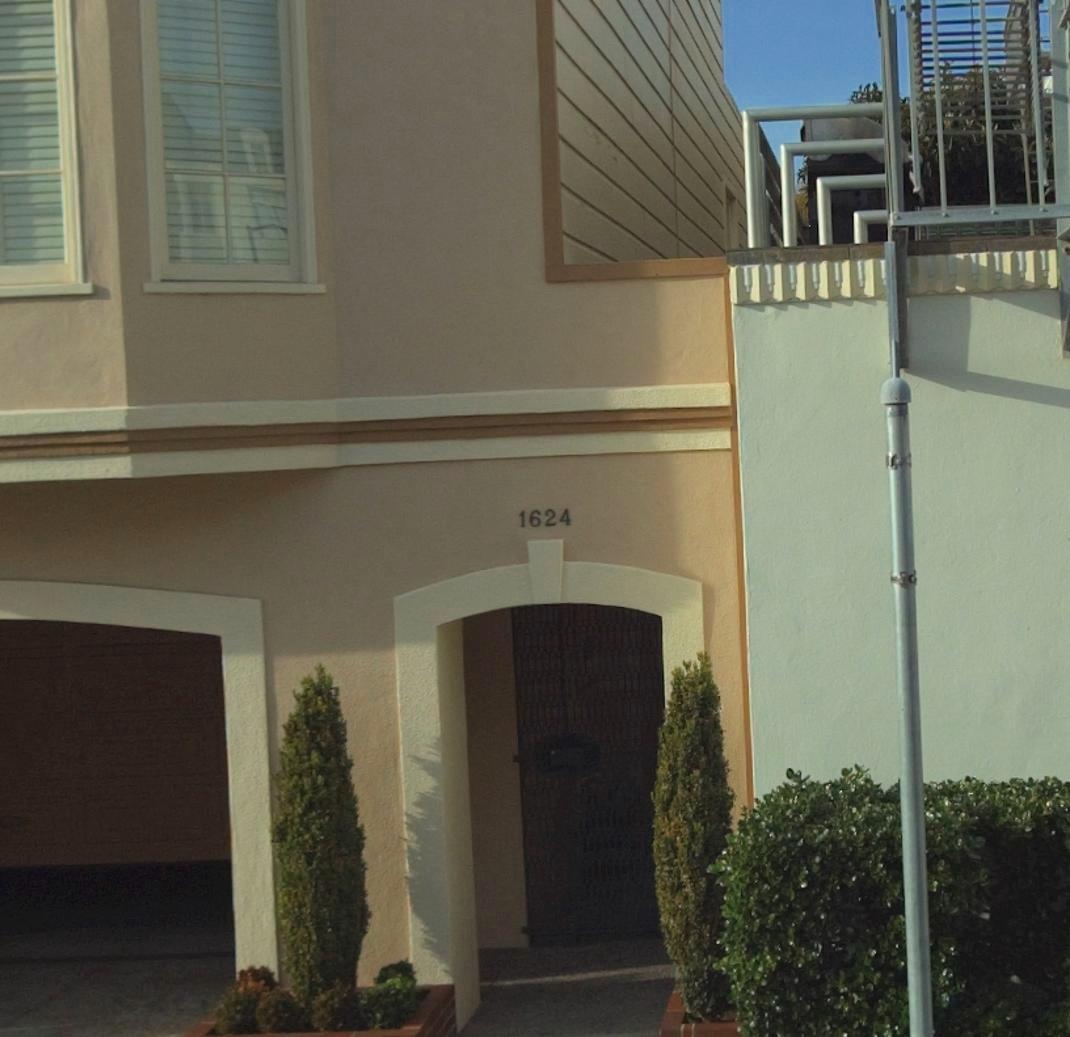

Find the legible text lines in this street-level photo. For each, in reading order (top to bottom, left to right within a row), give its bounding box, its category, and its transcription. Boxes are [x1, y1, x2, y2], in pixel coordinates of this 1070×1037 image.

[517, 505, 575, 531] StreetNumber: 1624